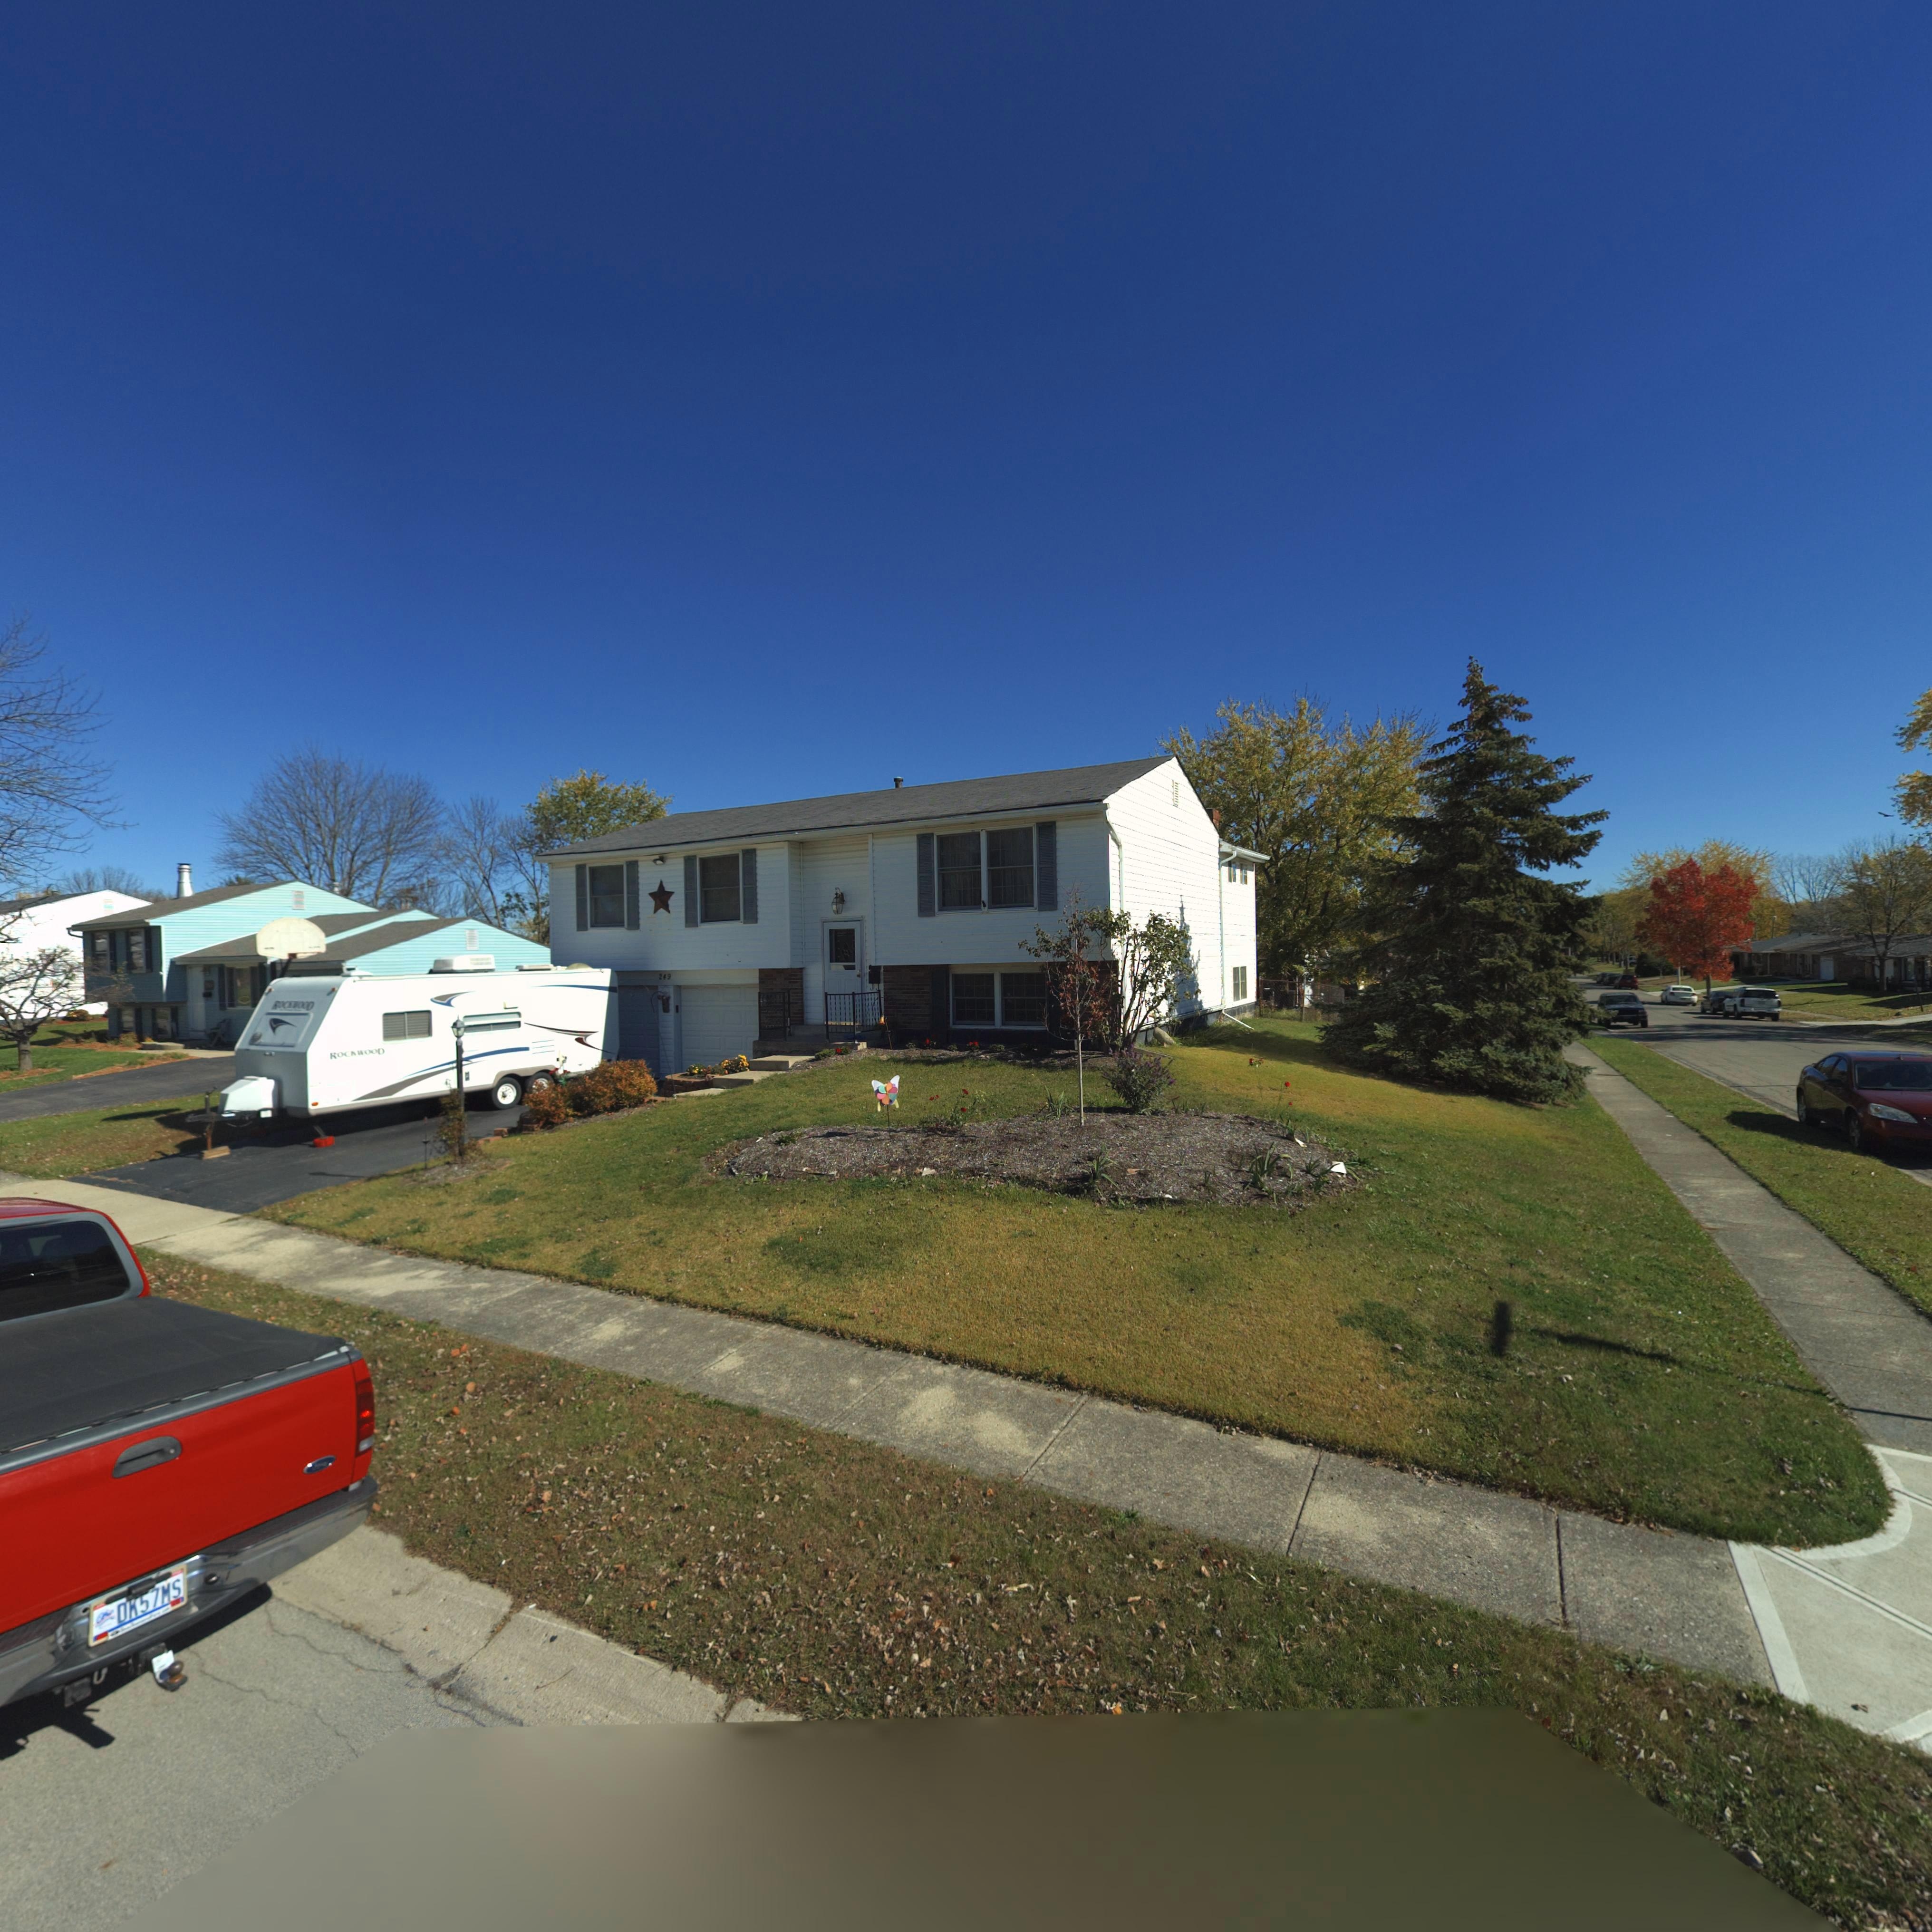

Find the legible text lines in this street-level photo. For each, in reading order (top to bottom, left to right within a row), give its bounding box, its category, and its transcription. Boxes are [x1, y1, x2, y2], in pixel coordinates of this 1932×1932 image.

[657, 973, 672, 981] StreetNumber: 249